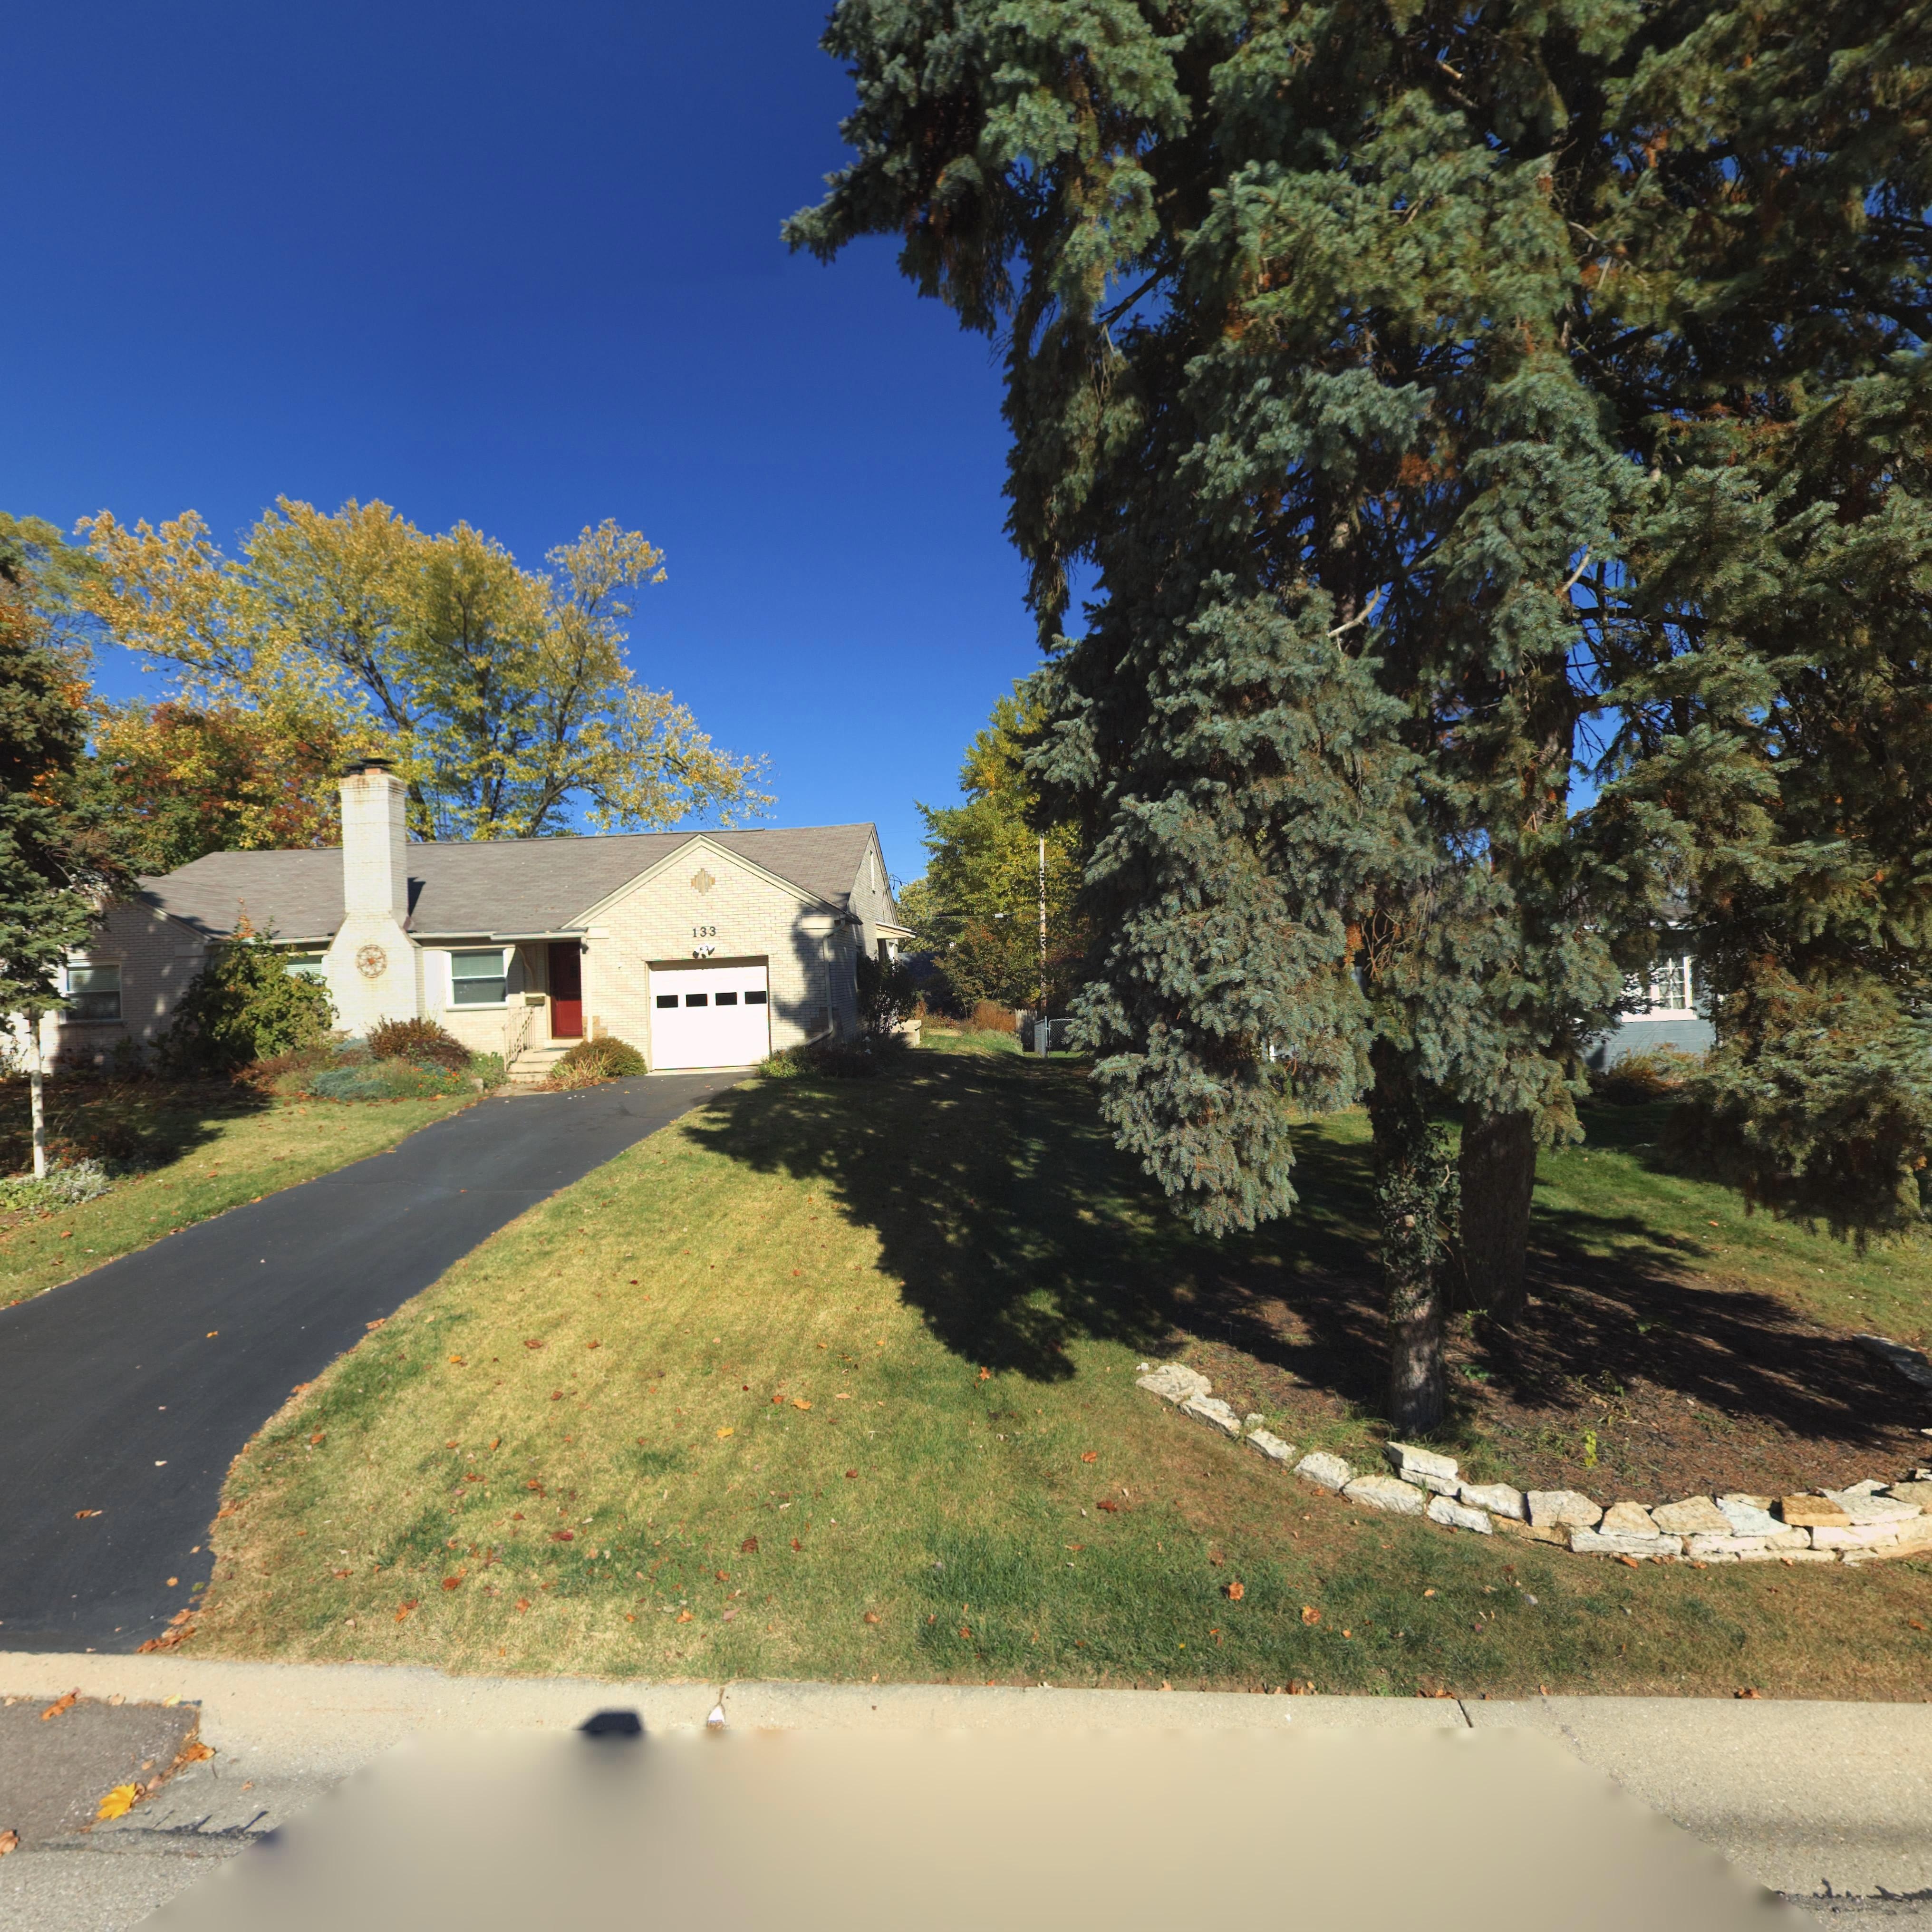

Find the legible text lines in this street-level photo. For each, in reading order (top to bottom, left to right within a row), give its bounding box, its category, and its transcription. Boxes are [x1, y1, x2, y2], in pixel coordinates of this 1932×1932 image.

[691, 925, 718, 938] StreetNumber: 133